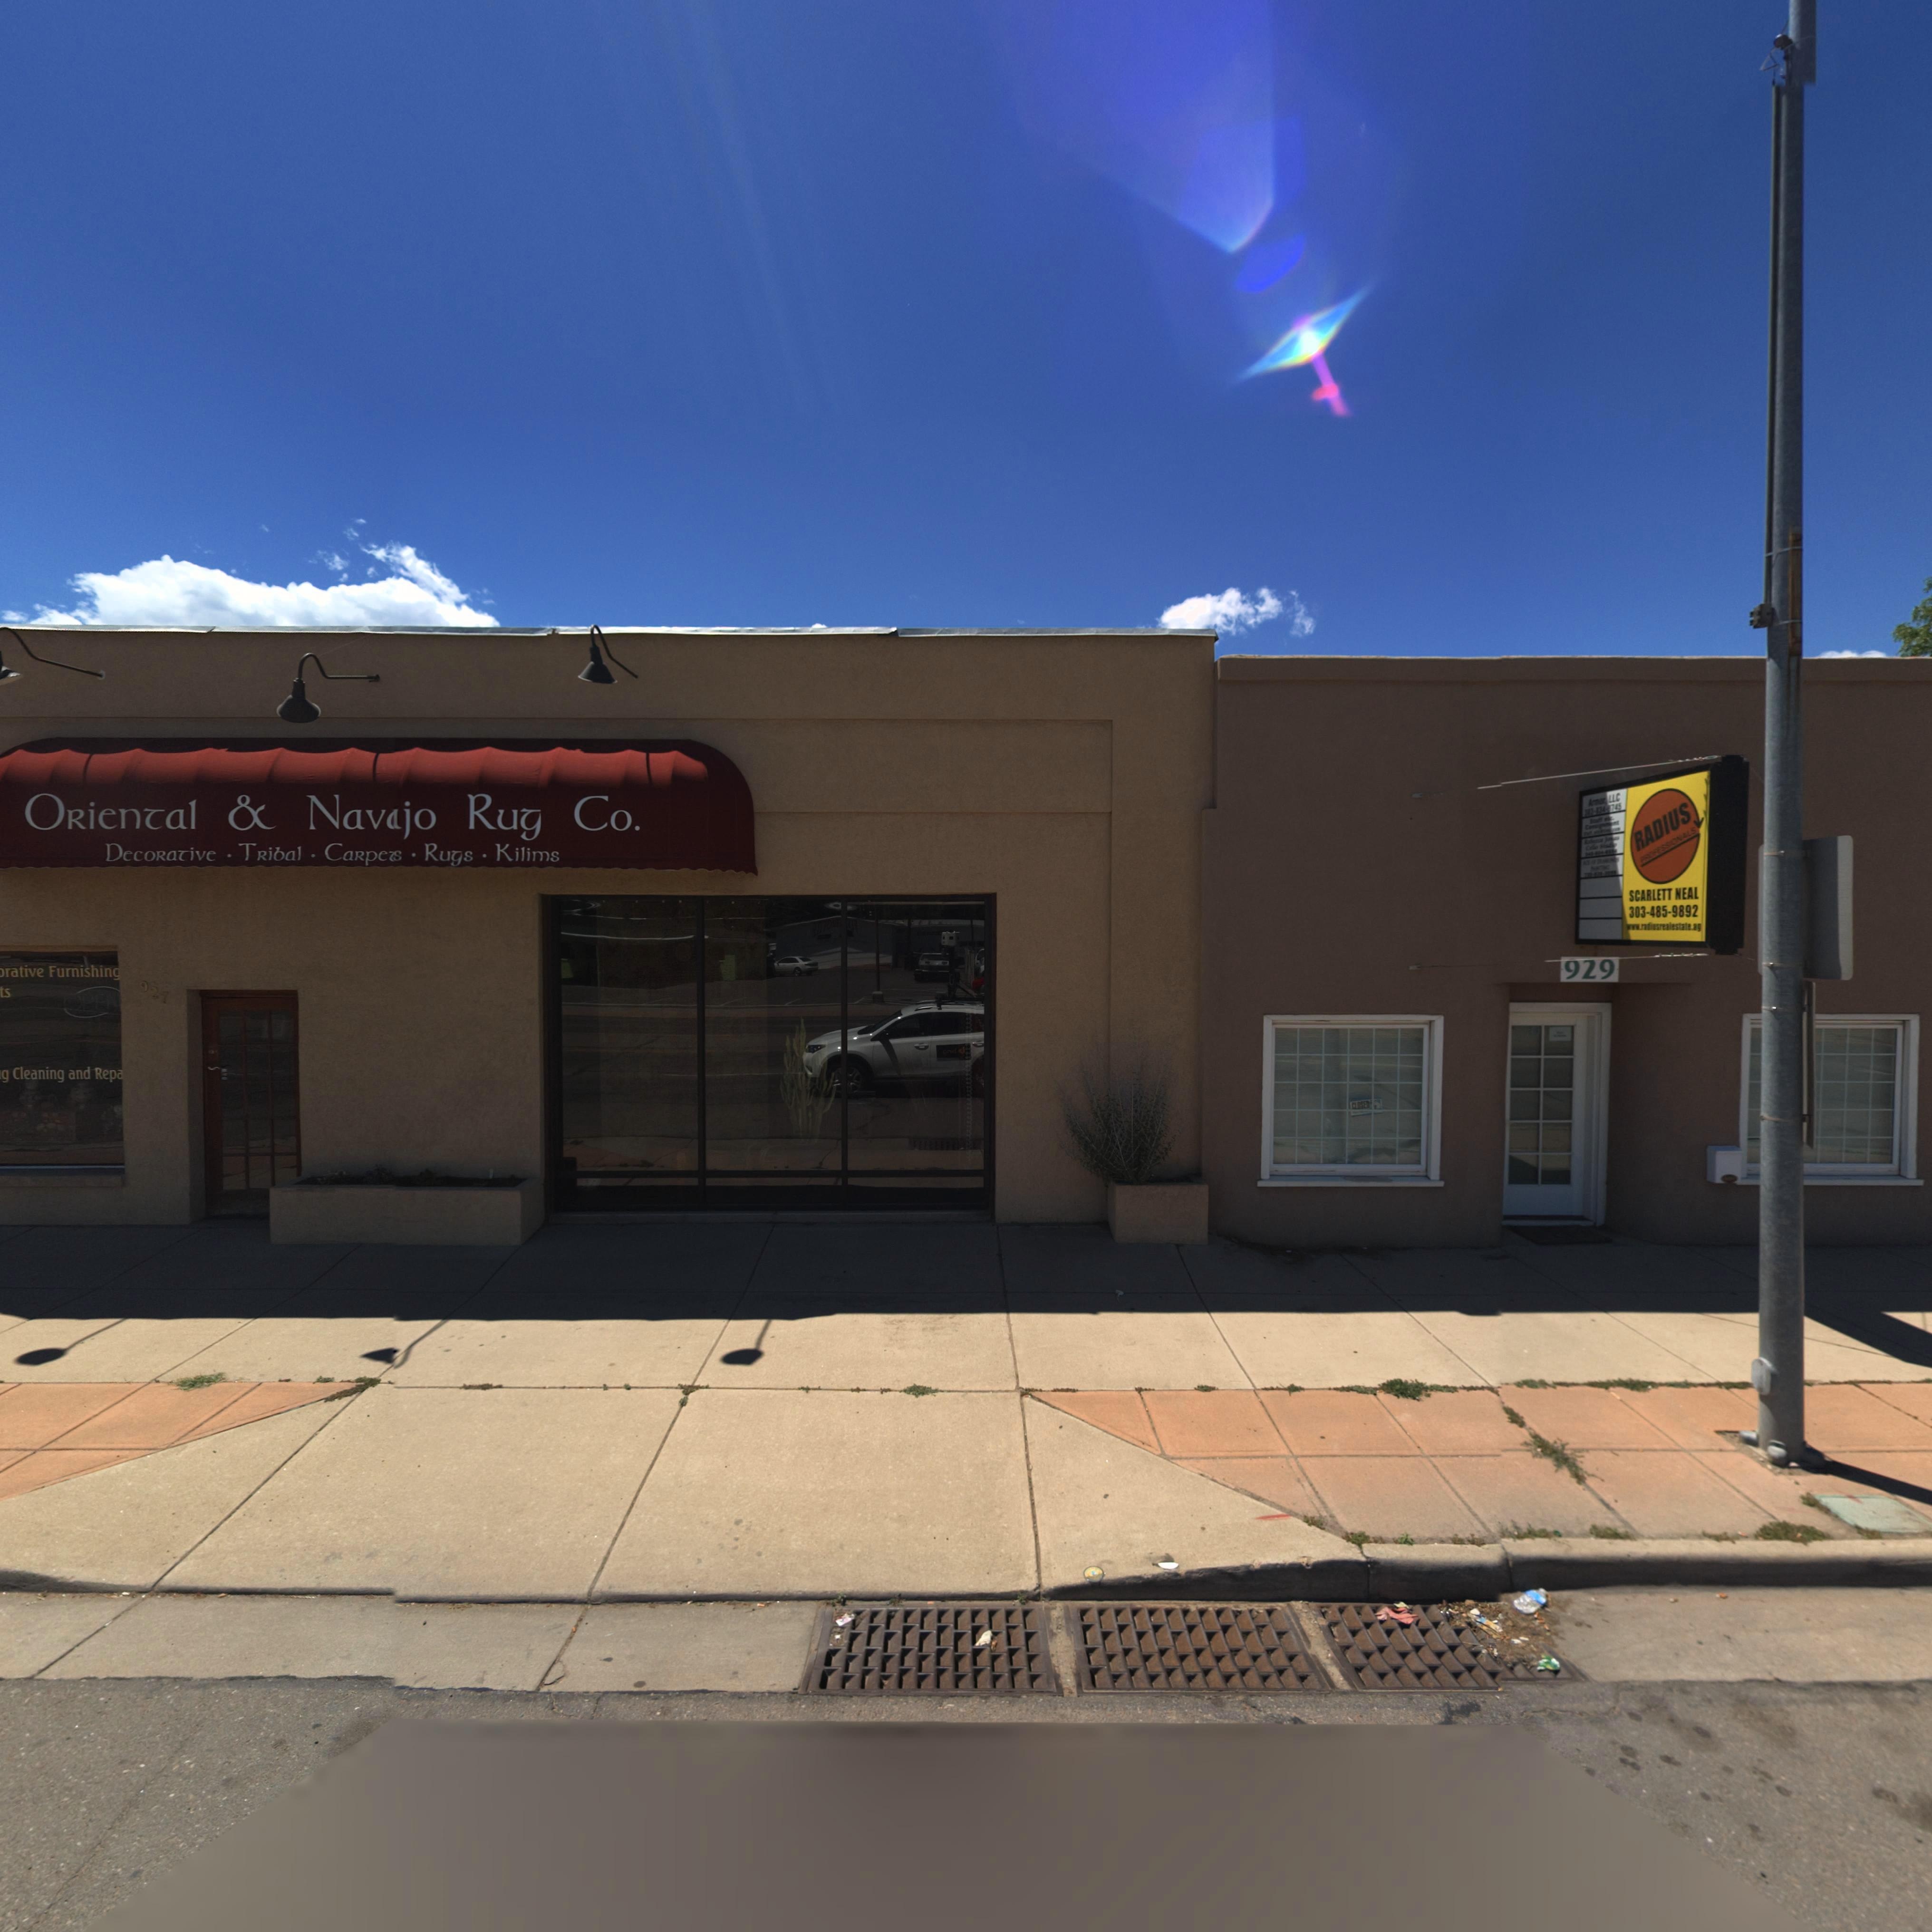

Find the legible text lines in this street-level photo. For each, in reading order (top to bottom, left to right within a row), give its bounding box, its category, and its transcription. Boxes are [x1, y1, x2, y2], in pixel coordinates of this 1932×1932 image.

[23, 792, 641, 841] BusinessName: ORien*al * Nav*jo Rug Co.
[1633, 801, 1692, 852] BusinessName: RADIUS
[1638, 826, 1698, 866] BusinessName: PROFESSIONALS
[1563, 958, 1616, 980] StreetNumber: 929
[139, 980, 170, 1005] StreetNumber: 927